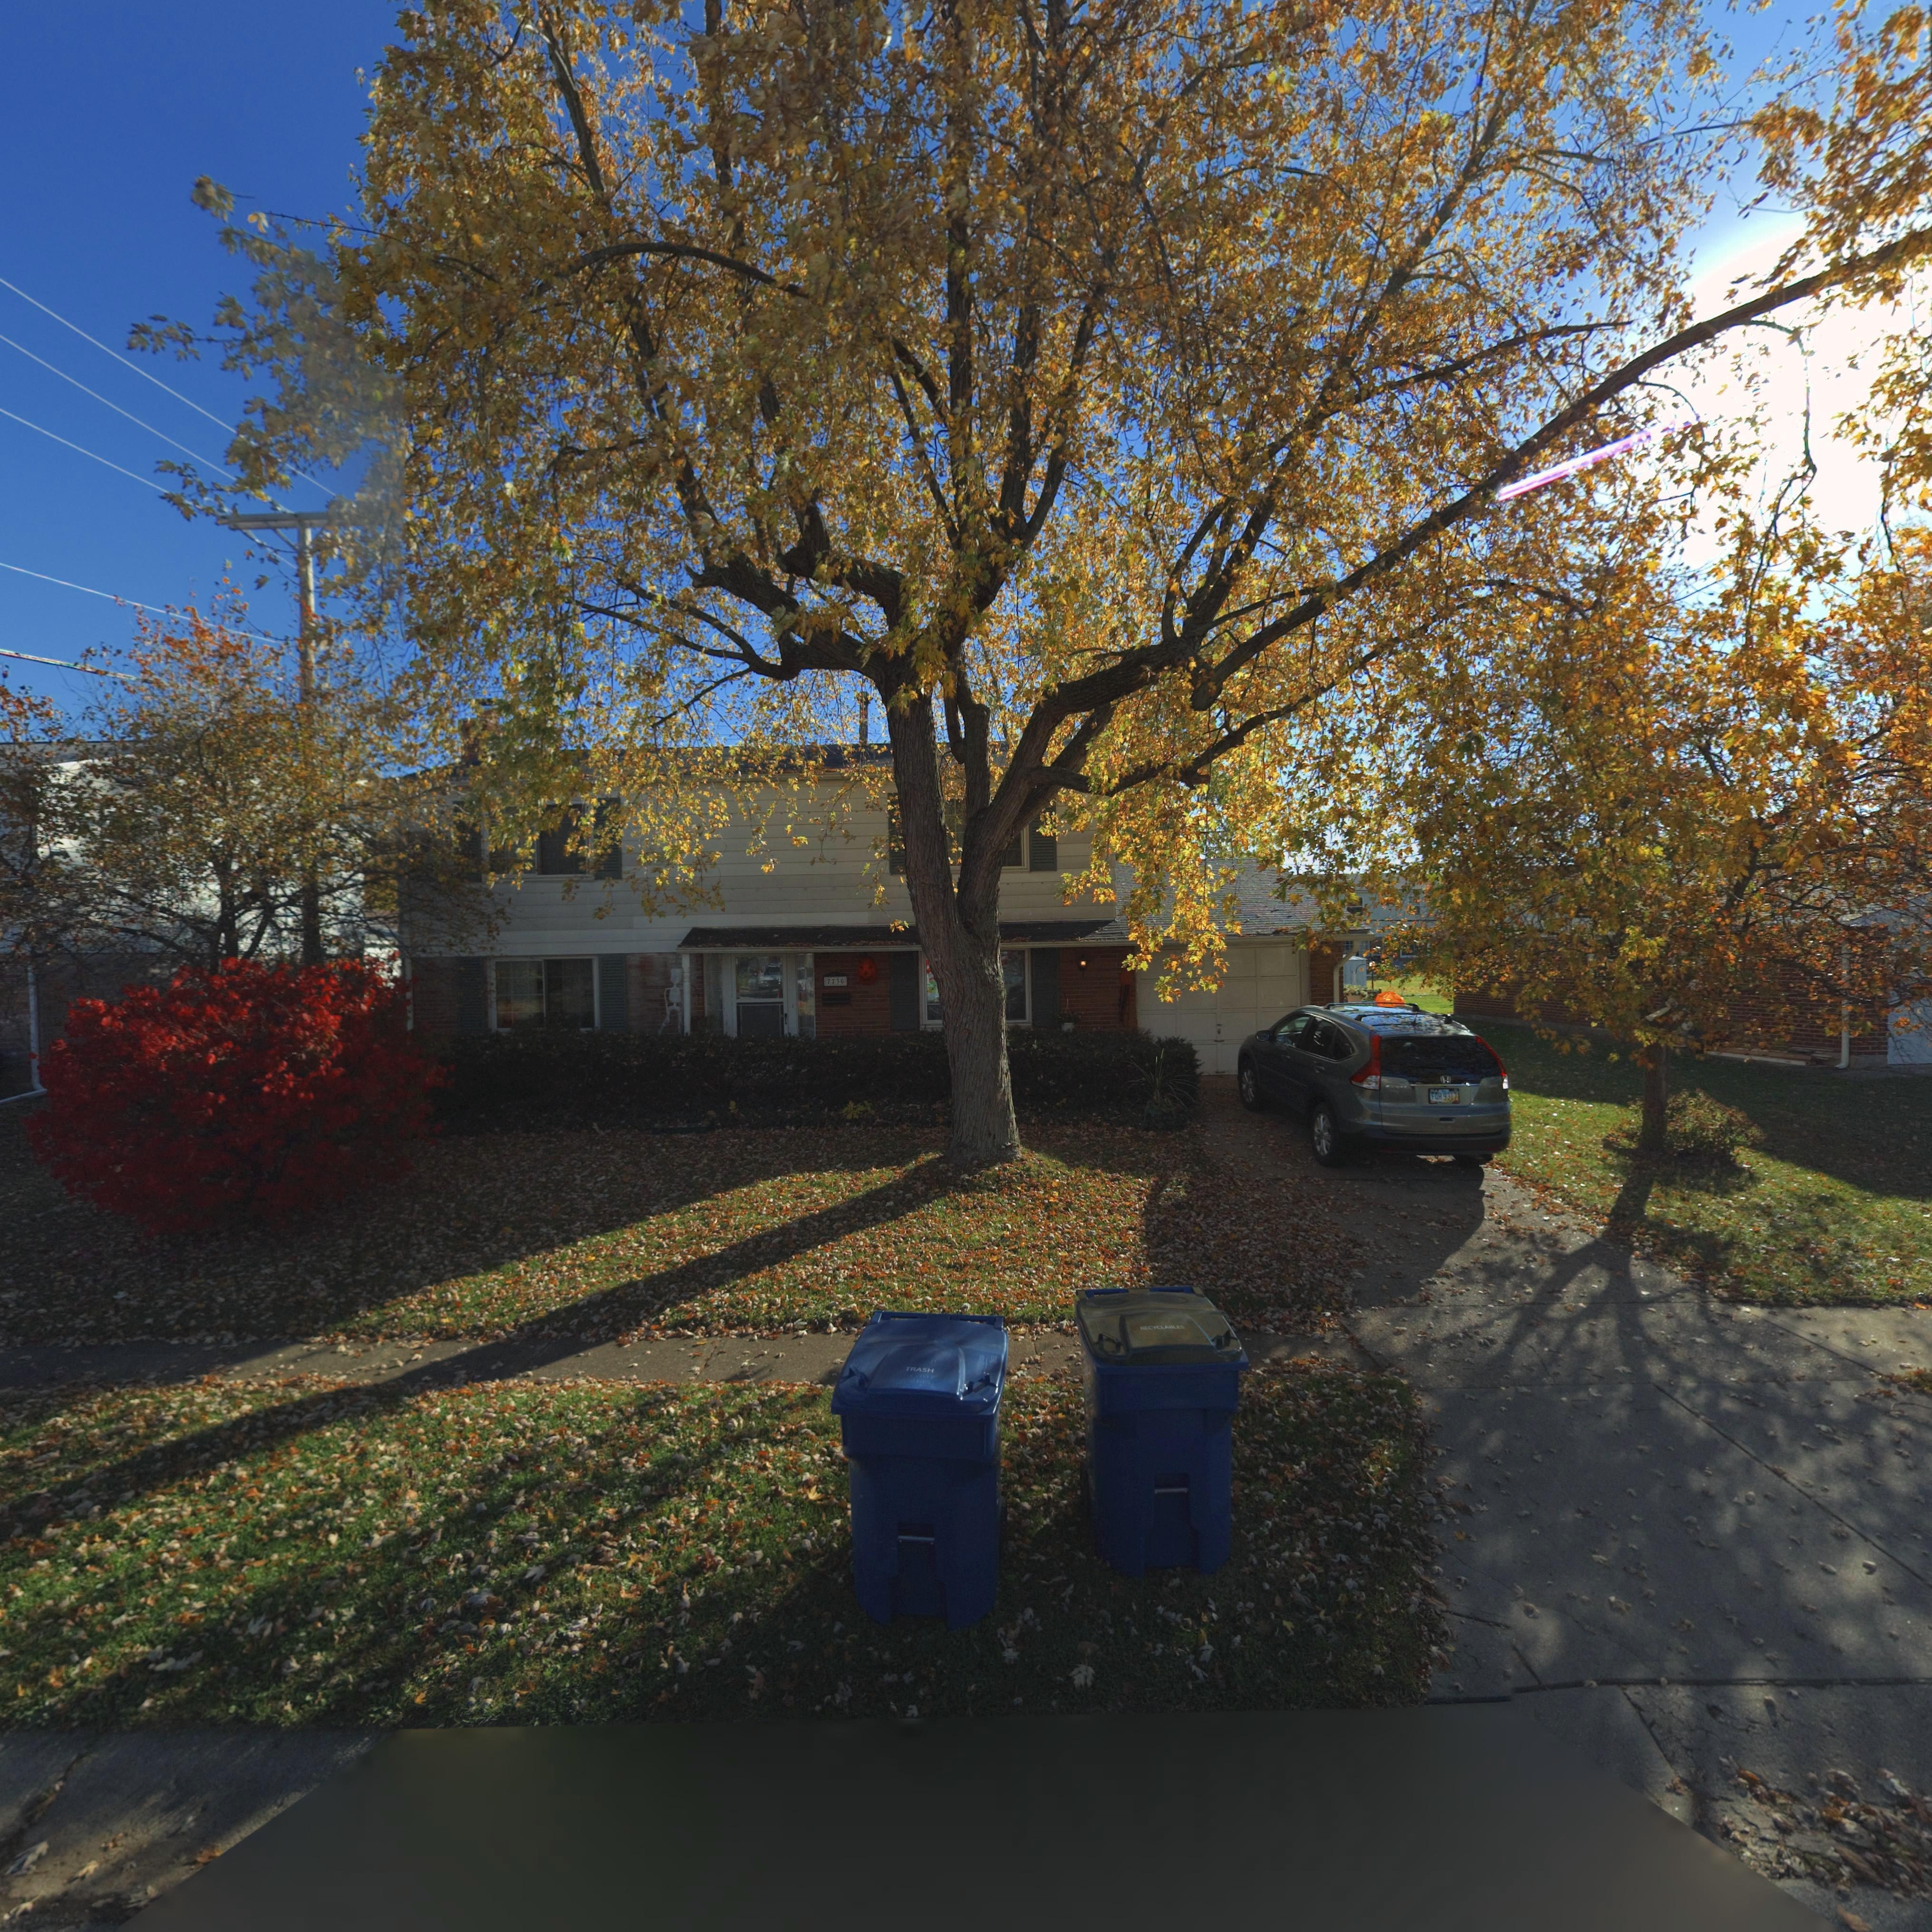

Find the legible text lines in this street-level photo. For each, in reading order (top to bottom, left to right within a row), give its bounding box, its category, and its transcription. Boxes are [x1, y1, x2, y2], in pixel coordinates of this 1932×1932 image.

[826, 977, 845, 986] StreetNumber: 7730